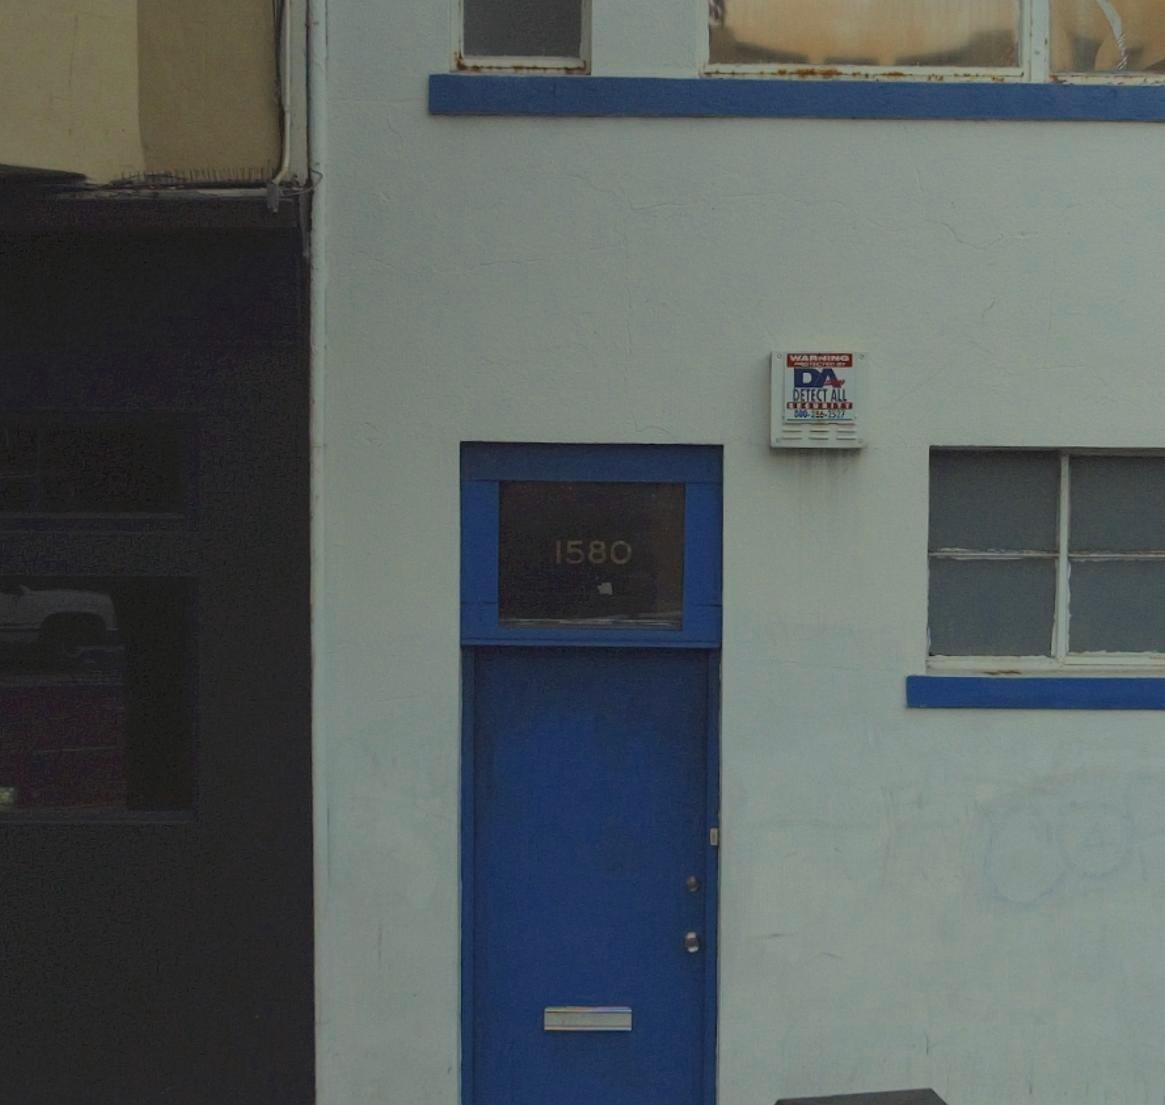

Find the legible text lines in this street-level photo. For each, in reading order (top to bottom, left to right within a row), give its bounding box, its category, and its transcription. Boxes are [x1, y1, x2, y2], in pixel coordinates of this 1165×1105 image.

[787, 353, 851, 363] None: WARNING
[792, 366, 842, 389] None: DA
[790, 387, 849, 404] None: DETECT ALL
[553, 538, 634, 567] StreetNumber: 1580